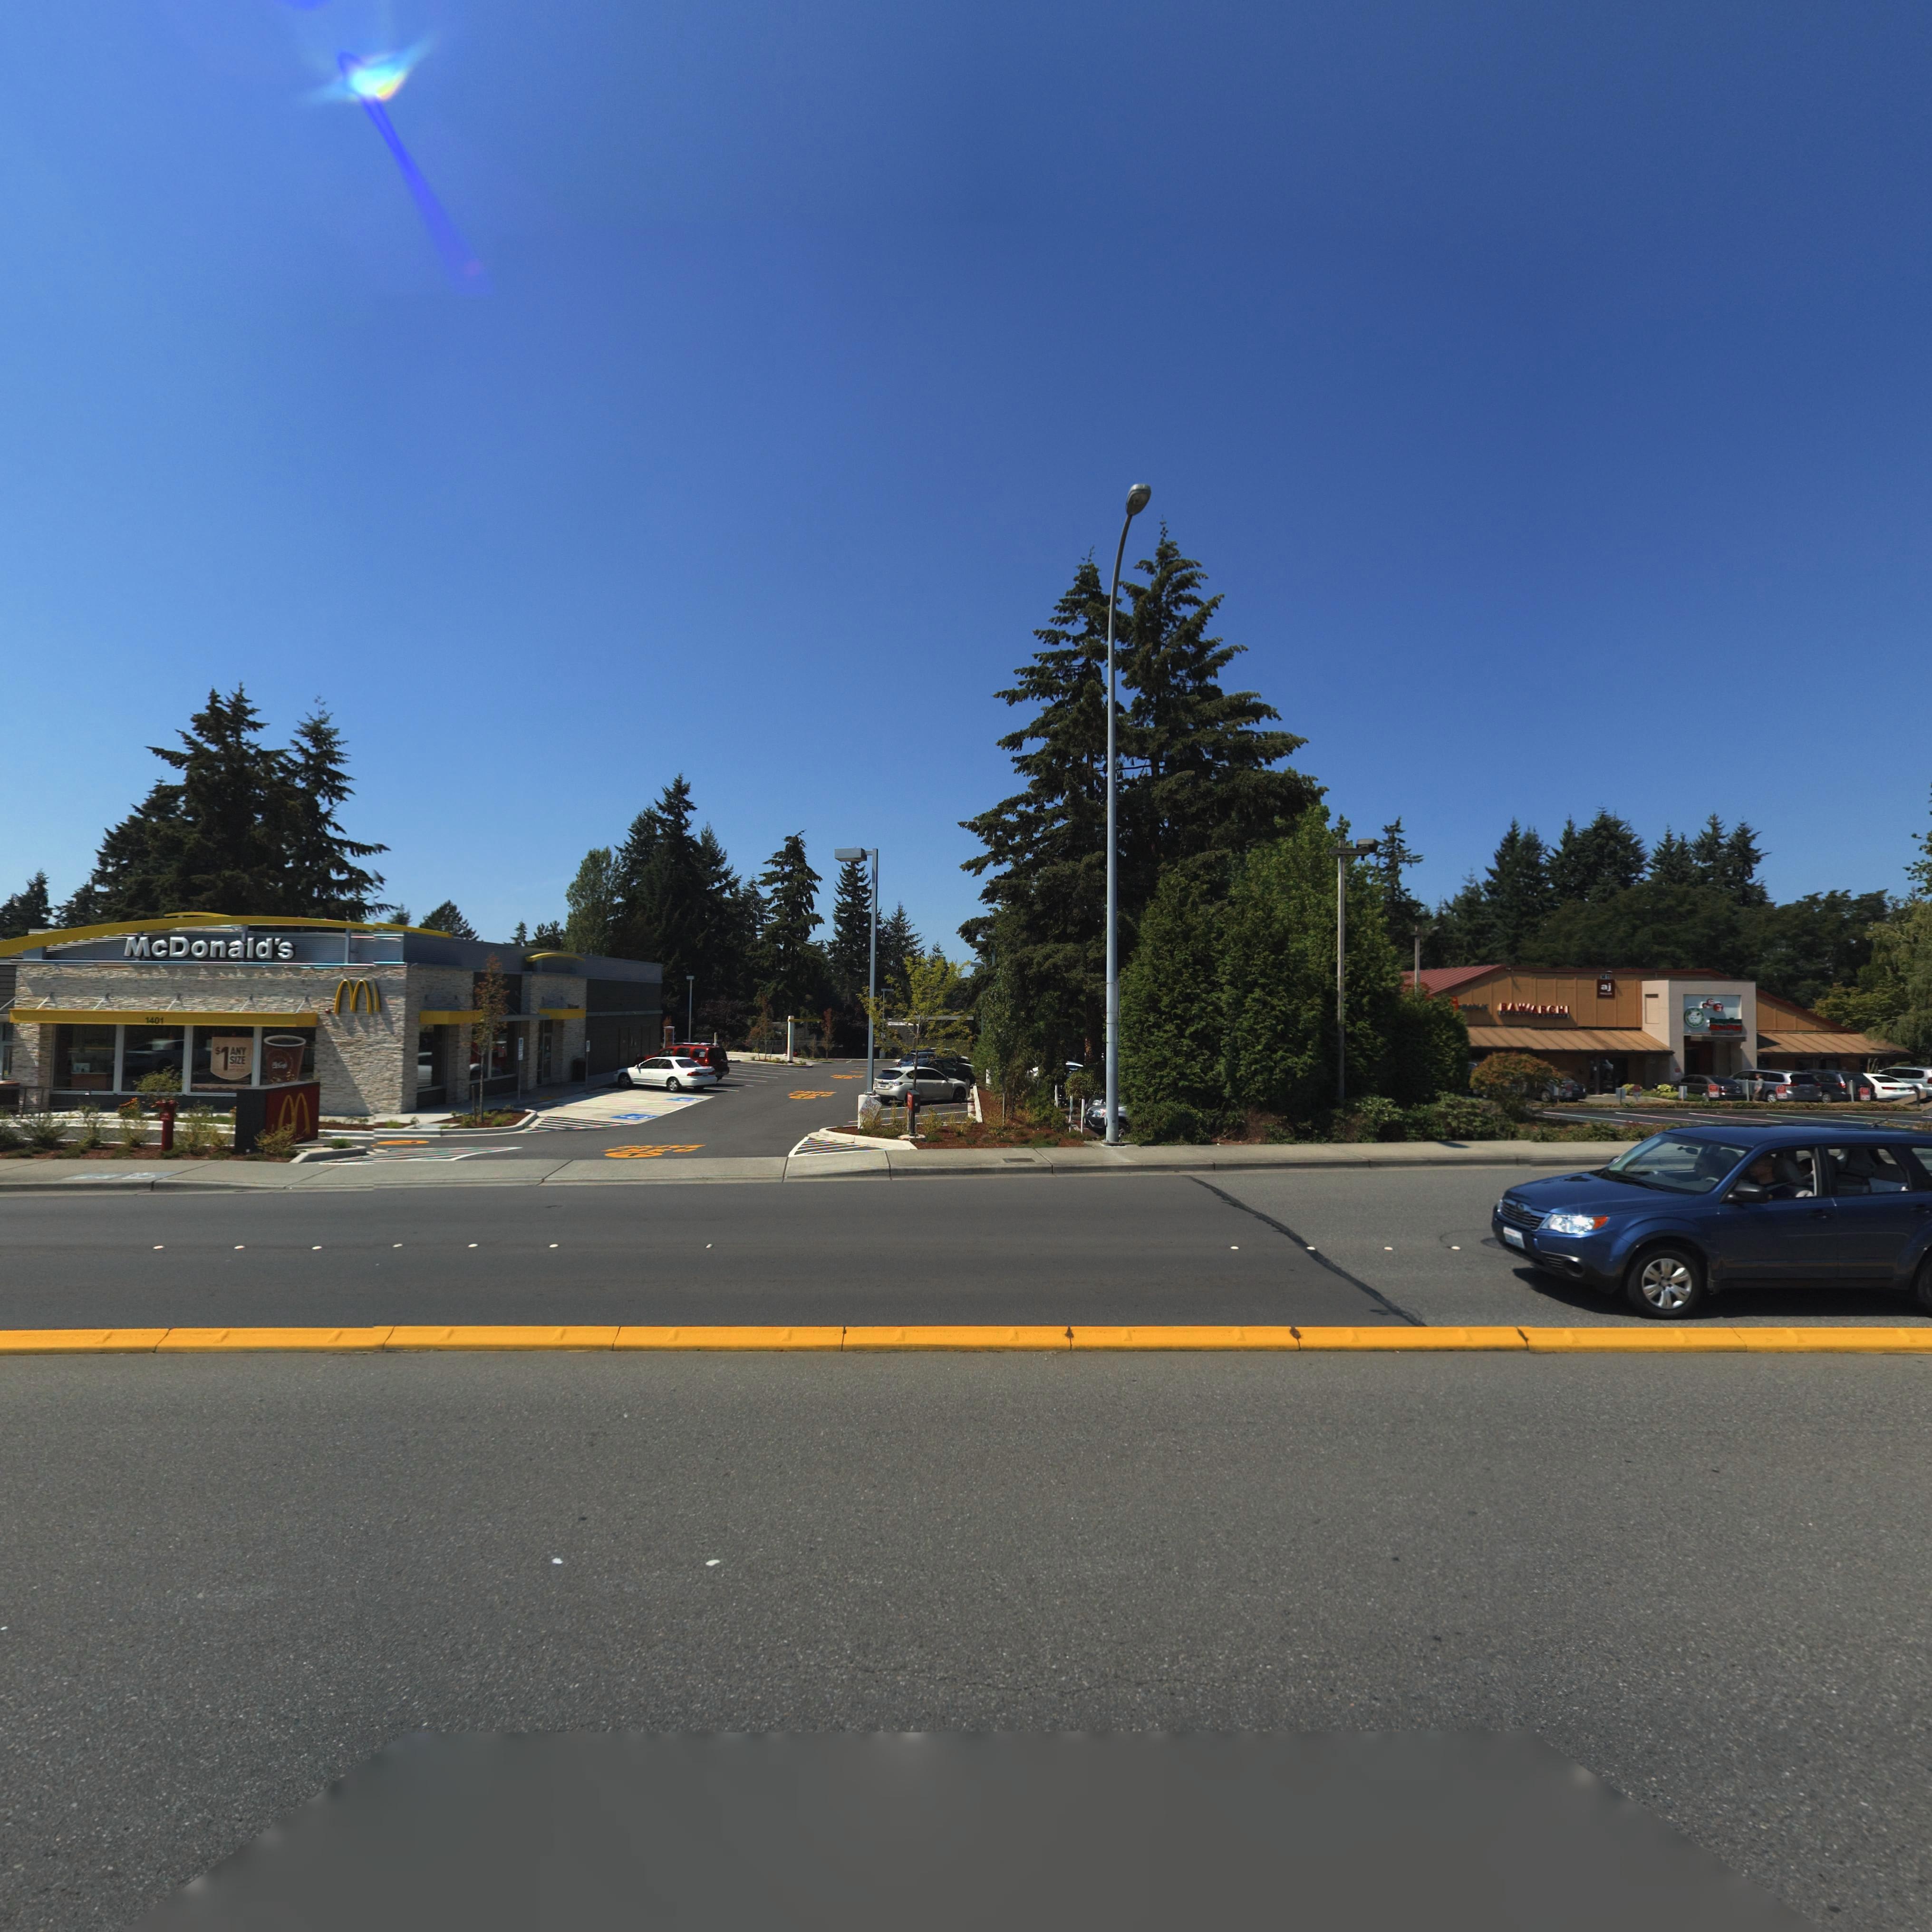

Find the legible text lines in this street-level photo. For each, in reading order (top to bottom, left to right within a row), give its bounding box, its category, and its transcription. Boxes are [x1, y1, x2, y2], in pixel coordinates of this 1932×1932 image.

[123, 936, 294, 960] BusinessName: McDonald's
[1601, 982, 1612, 992] BusinessName: aj
[145, 1016, 164, 1024] StreetNumber: 1401